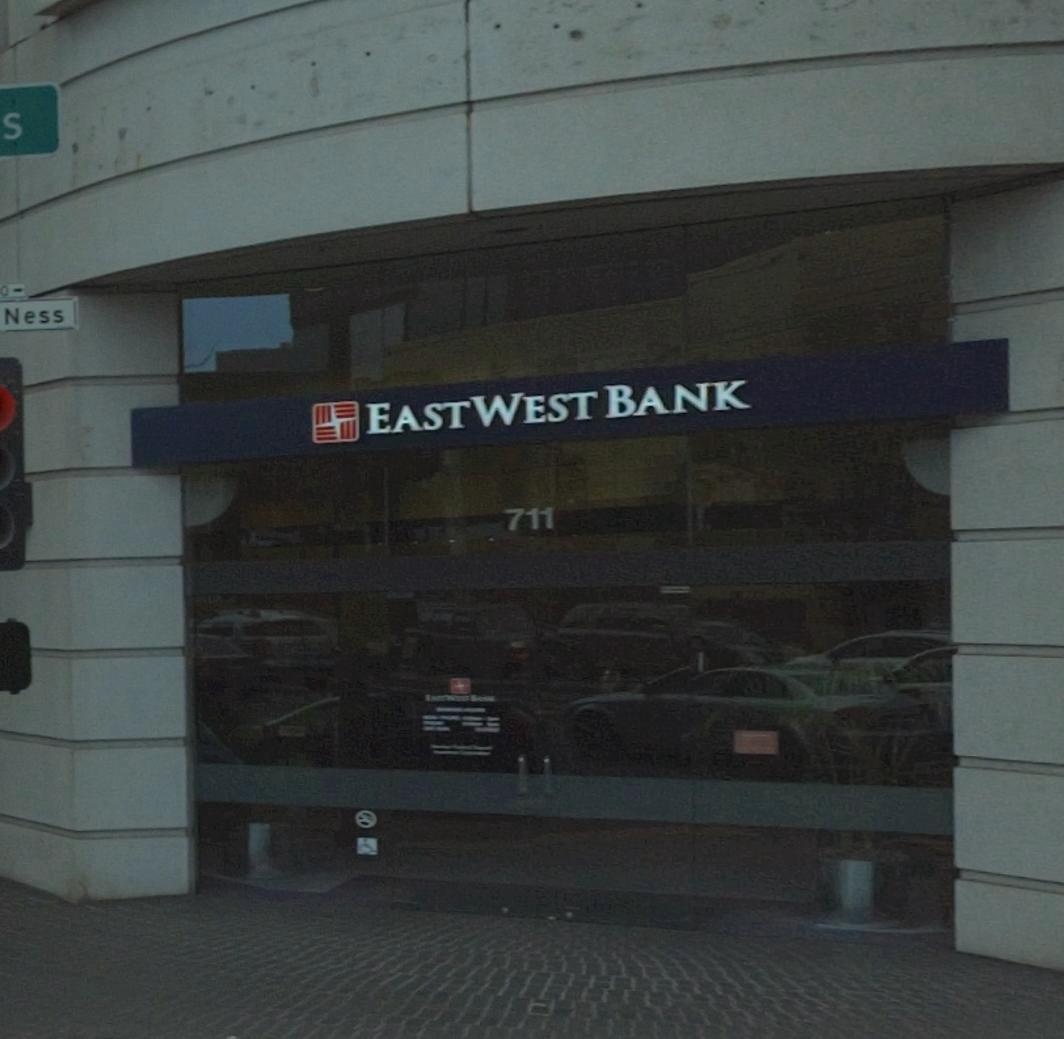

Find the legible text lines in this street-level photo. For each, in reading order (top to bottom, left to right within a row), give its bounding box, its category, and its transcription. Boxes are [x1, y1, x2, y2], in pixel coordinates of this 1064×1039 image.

[0, 109, 25, 143] StreetName: S
[0, 282, 26, 299] StreetNumberRange: 0->
[1, 302, 70, 329] StreetName: Ness
[361, 372, 758, 439] BusinessName: EAST WEST BANK
[501, 504, 557, 534] StreetNumber: 711